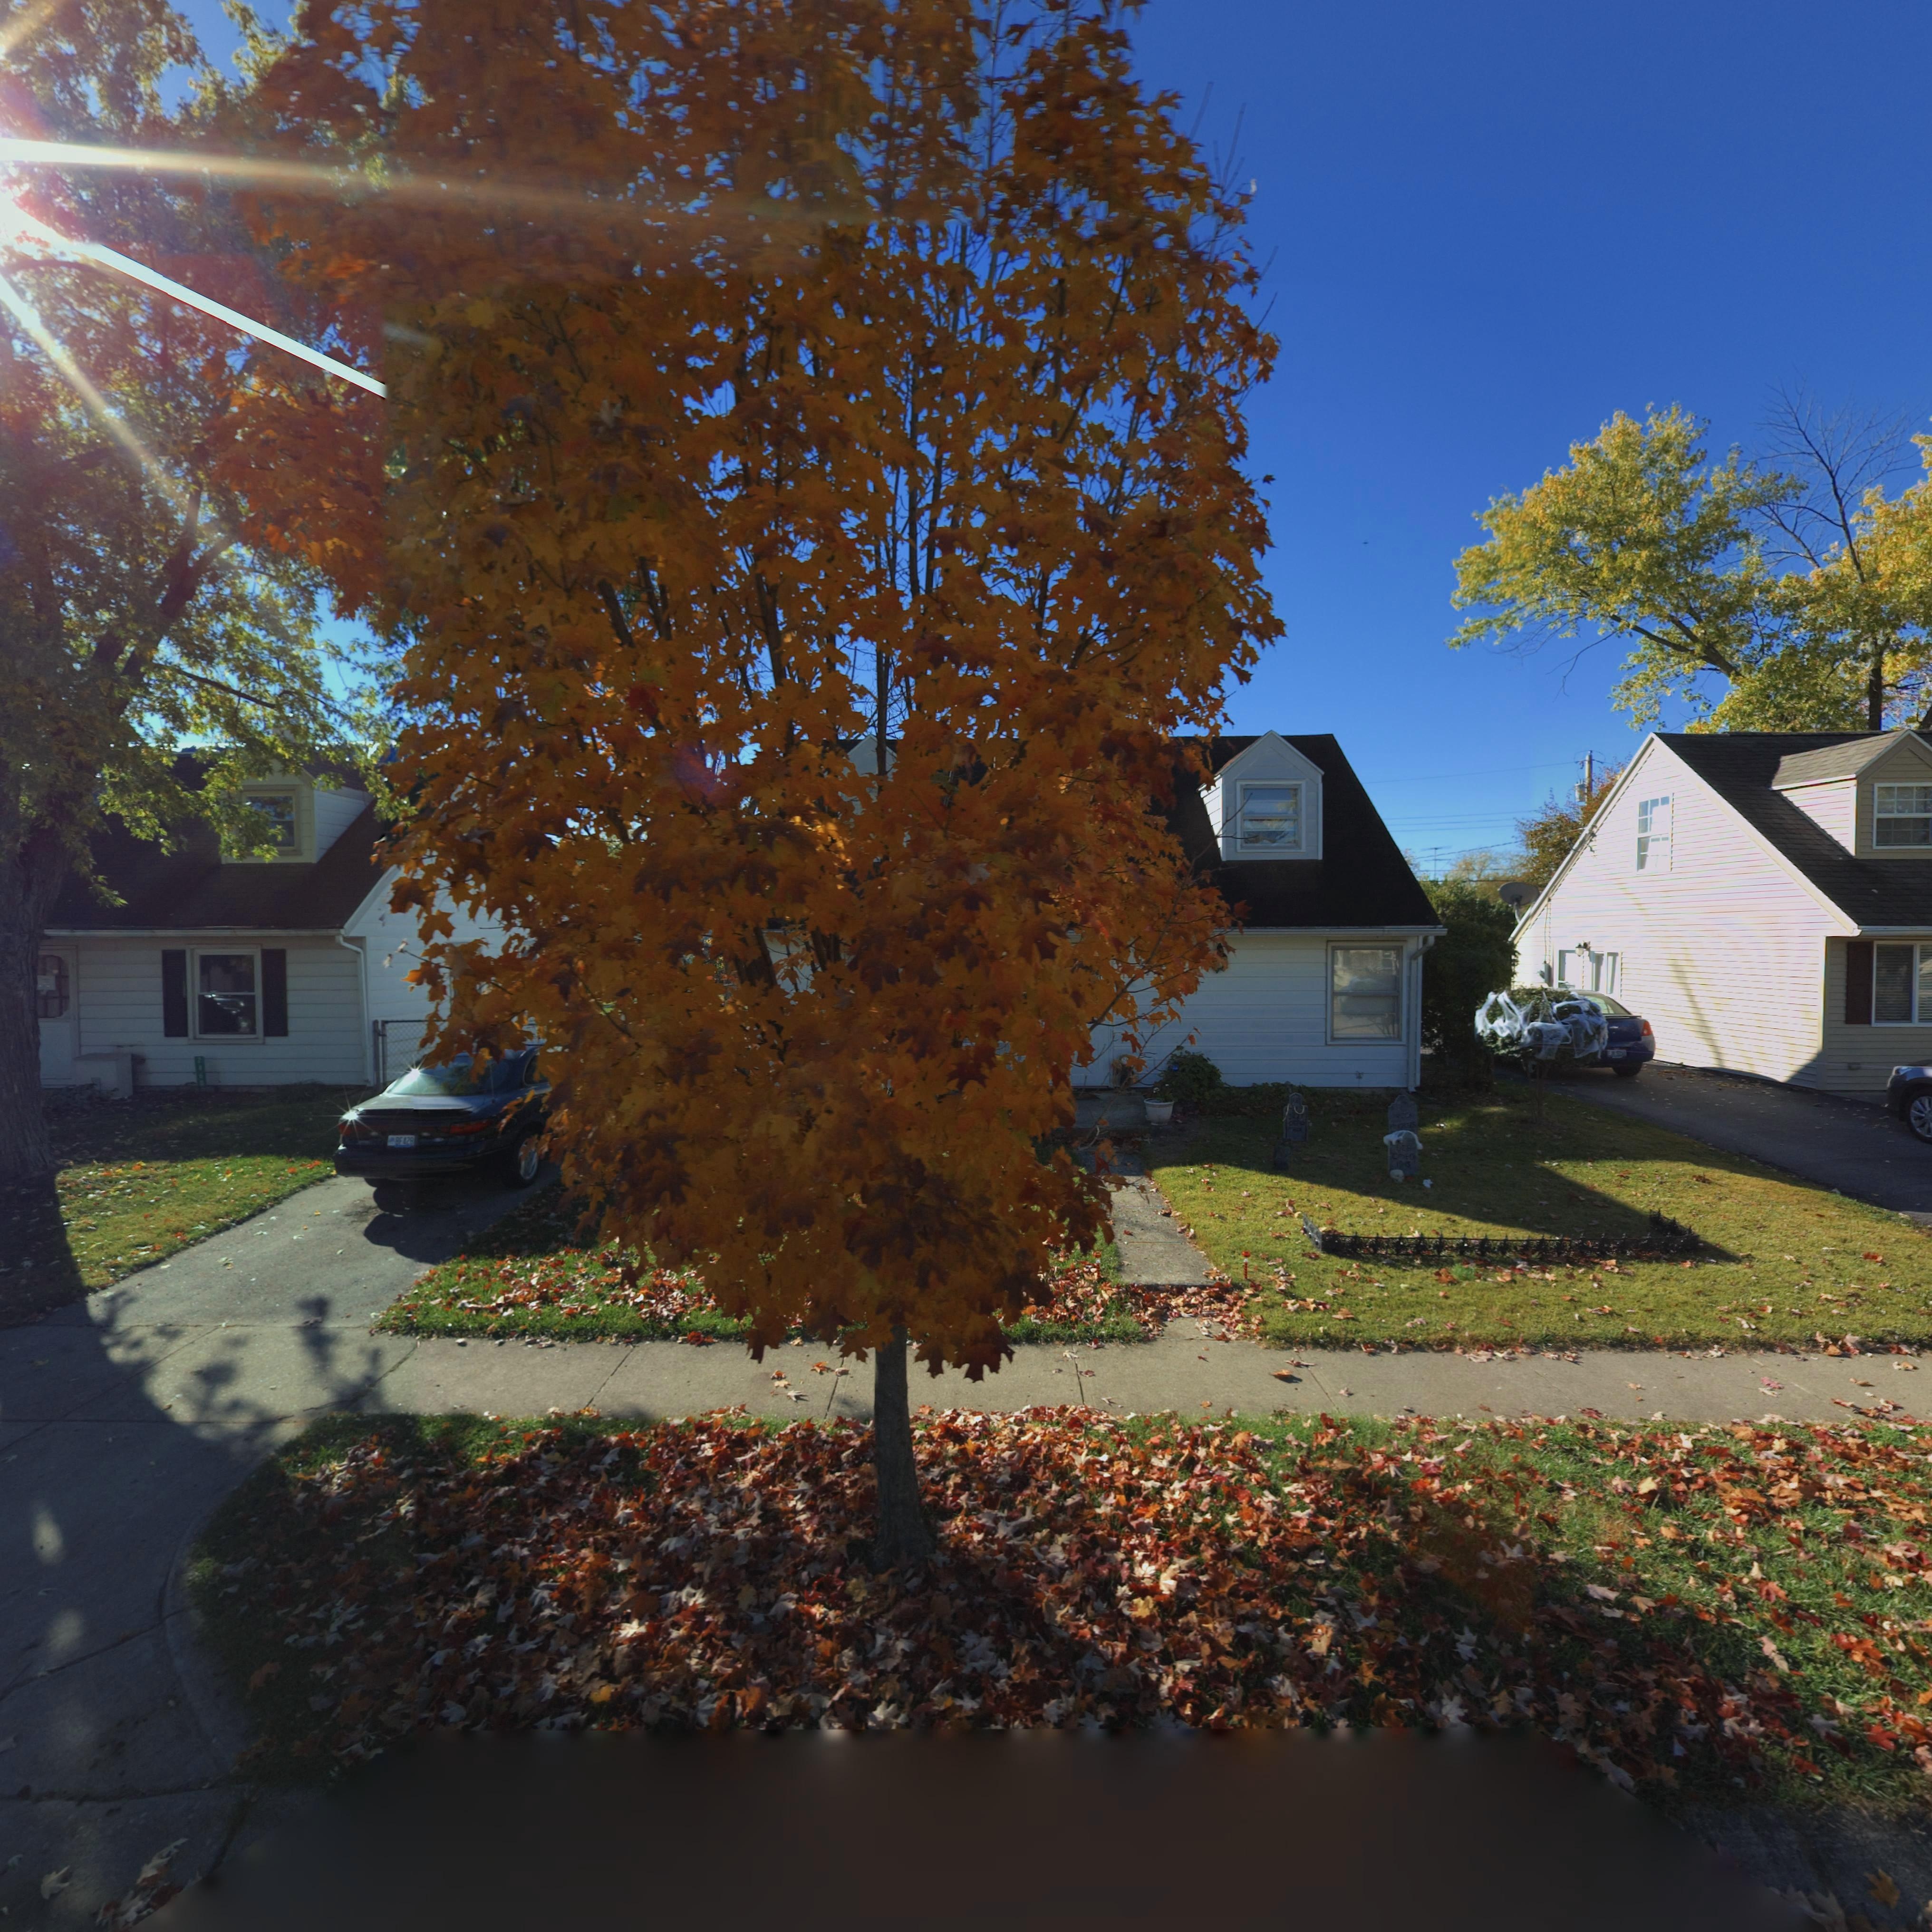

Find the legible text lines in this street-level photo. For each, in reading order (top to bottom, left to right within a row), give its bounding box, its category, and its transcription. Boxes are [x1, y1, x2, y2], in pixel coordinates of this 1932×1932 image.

[196, 1056, 205, 1087] StreetNumber: 2460